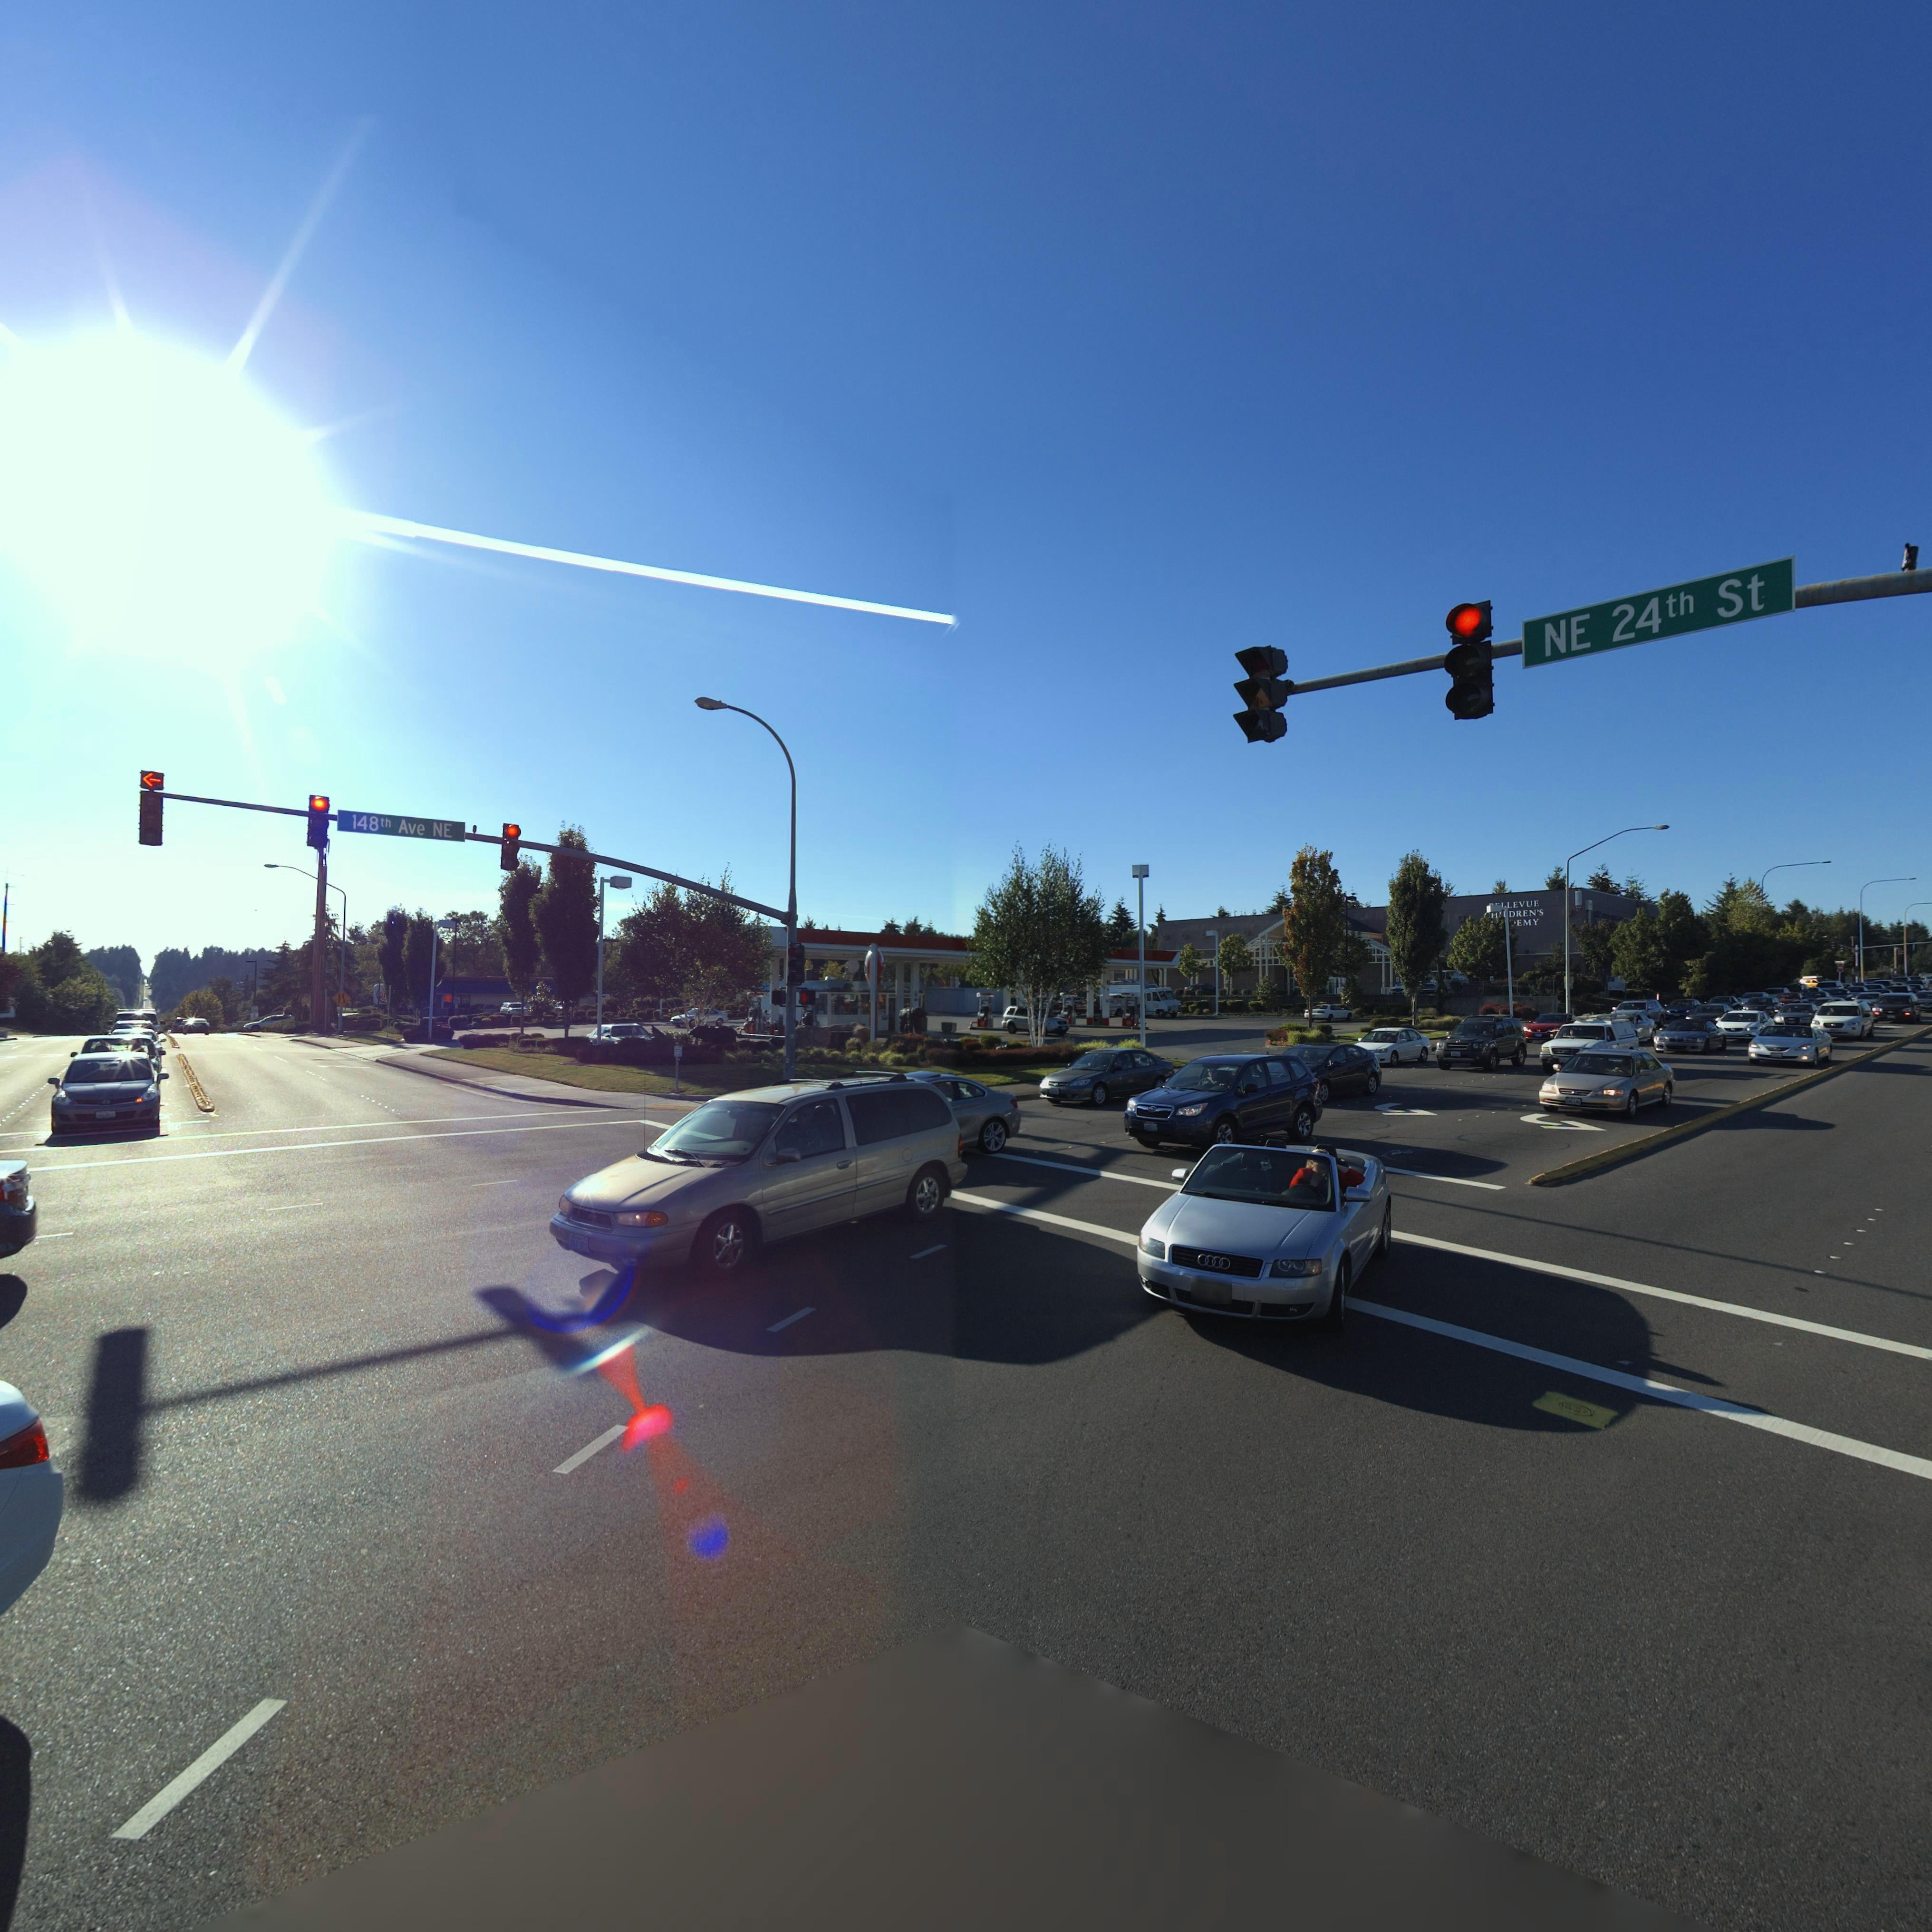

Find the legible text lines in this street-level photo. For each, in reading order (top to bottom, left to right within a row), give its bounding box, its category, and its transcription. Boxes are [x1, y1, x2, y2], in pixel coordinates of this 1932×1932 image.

[1542, 570, 1771, 660] StreetName: NE 24th St
[351, 812, 454, 840] StreetName: 148th Ave NE
[1506, 899, 1540, 909] BusinessName: LEVUE
[1482, 908, 1545, 920] BusinessName: *H**DREN*S
[1515, 917, 1541, 927] BusinessName: EMY